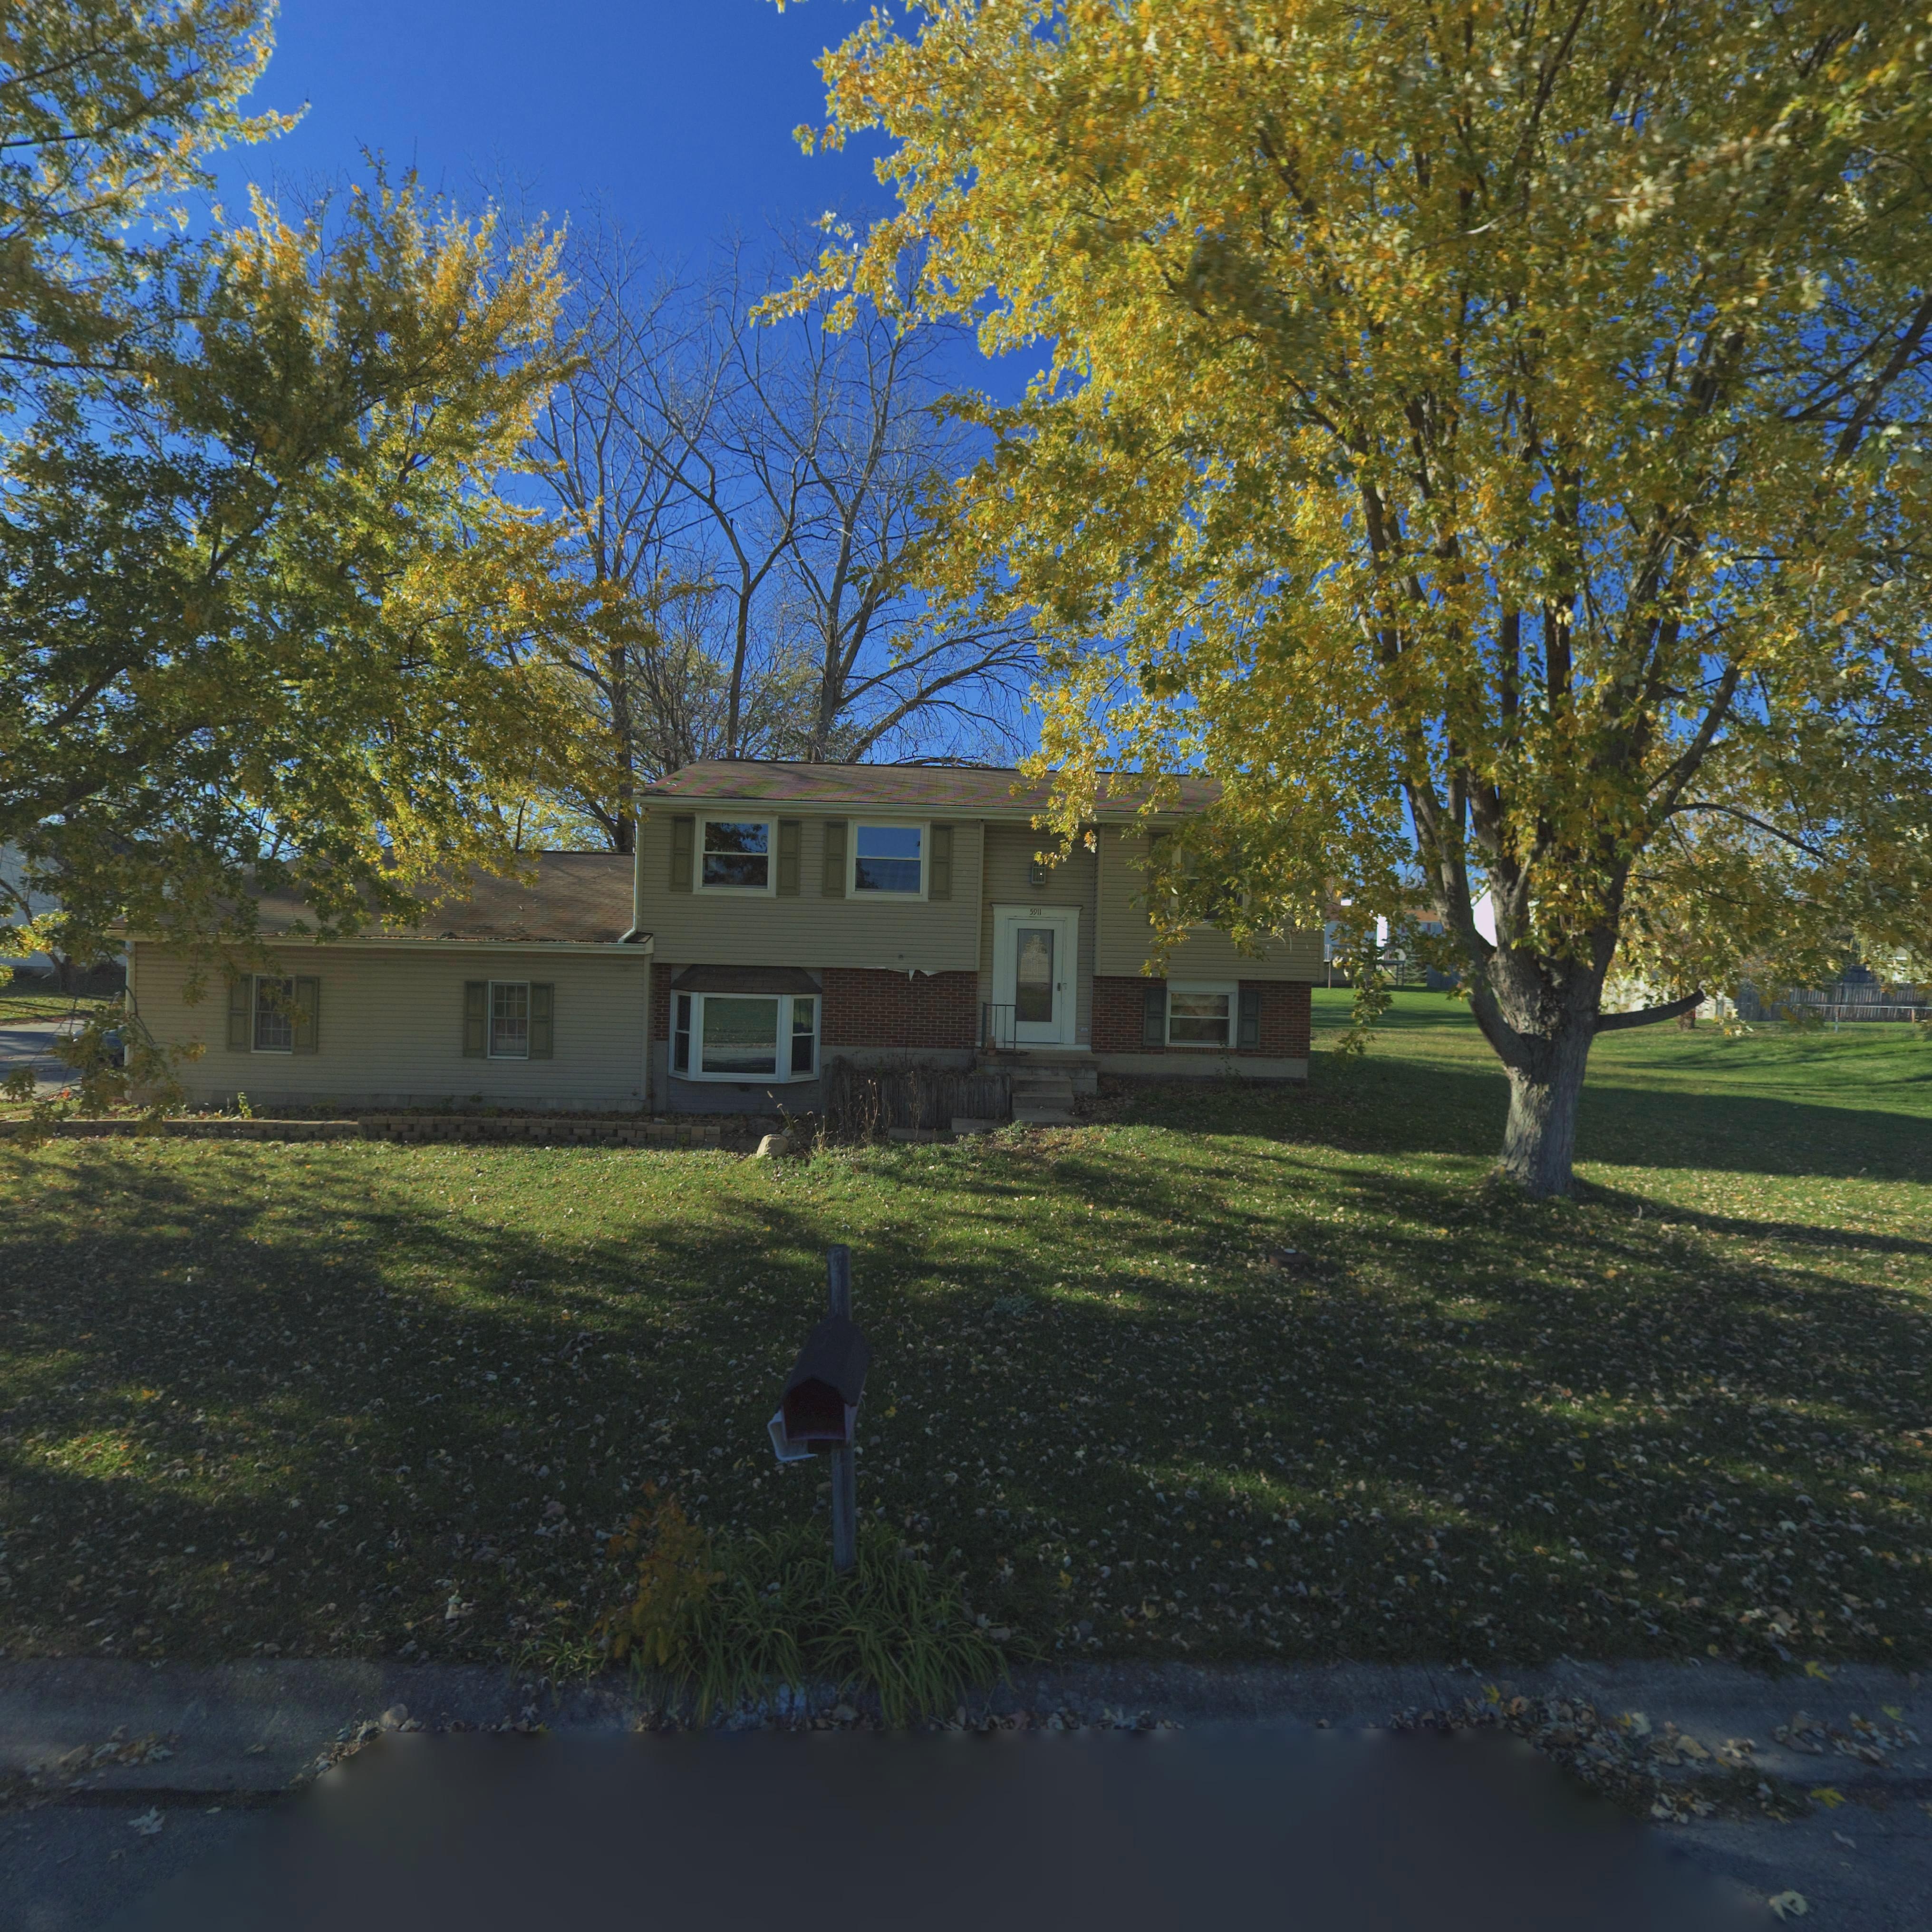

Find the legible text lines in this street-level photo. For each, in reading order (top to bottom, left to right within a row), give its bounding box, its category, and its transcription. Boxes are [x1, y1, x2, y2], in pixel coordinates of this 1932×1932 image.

[1029, 908, 1042, 916] StreetNumber: 5911